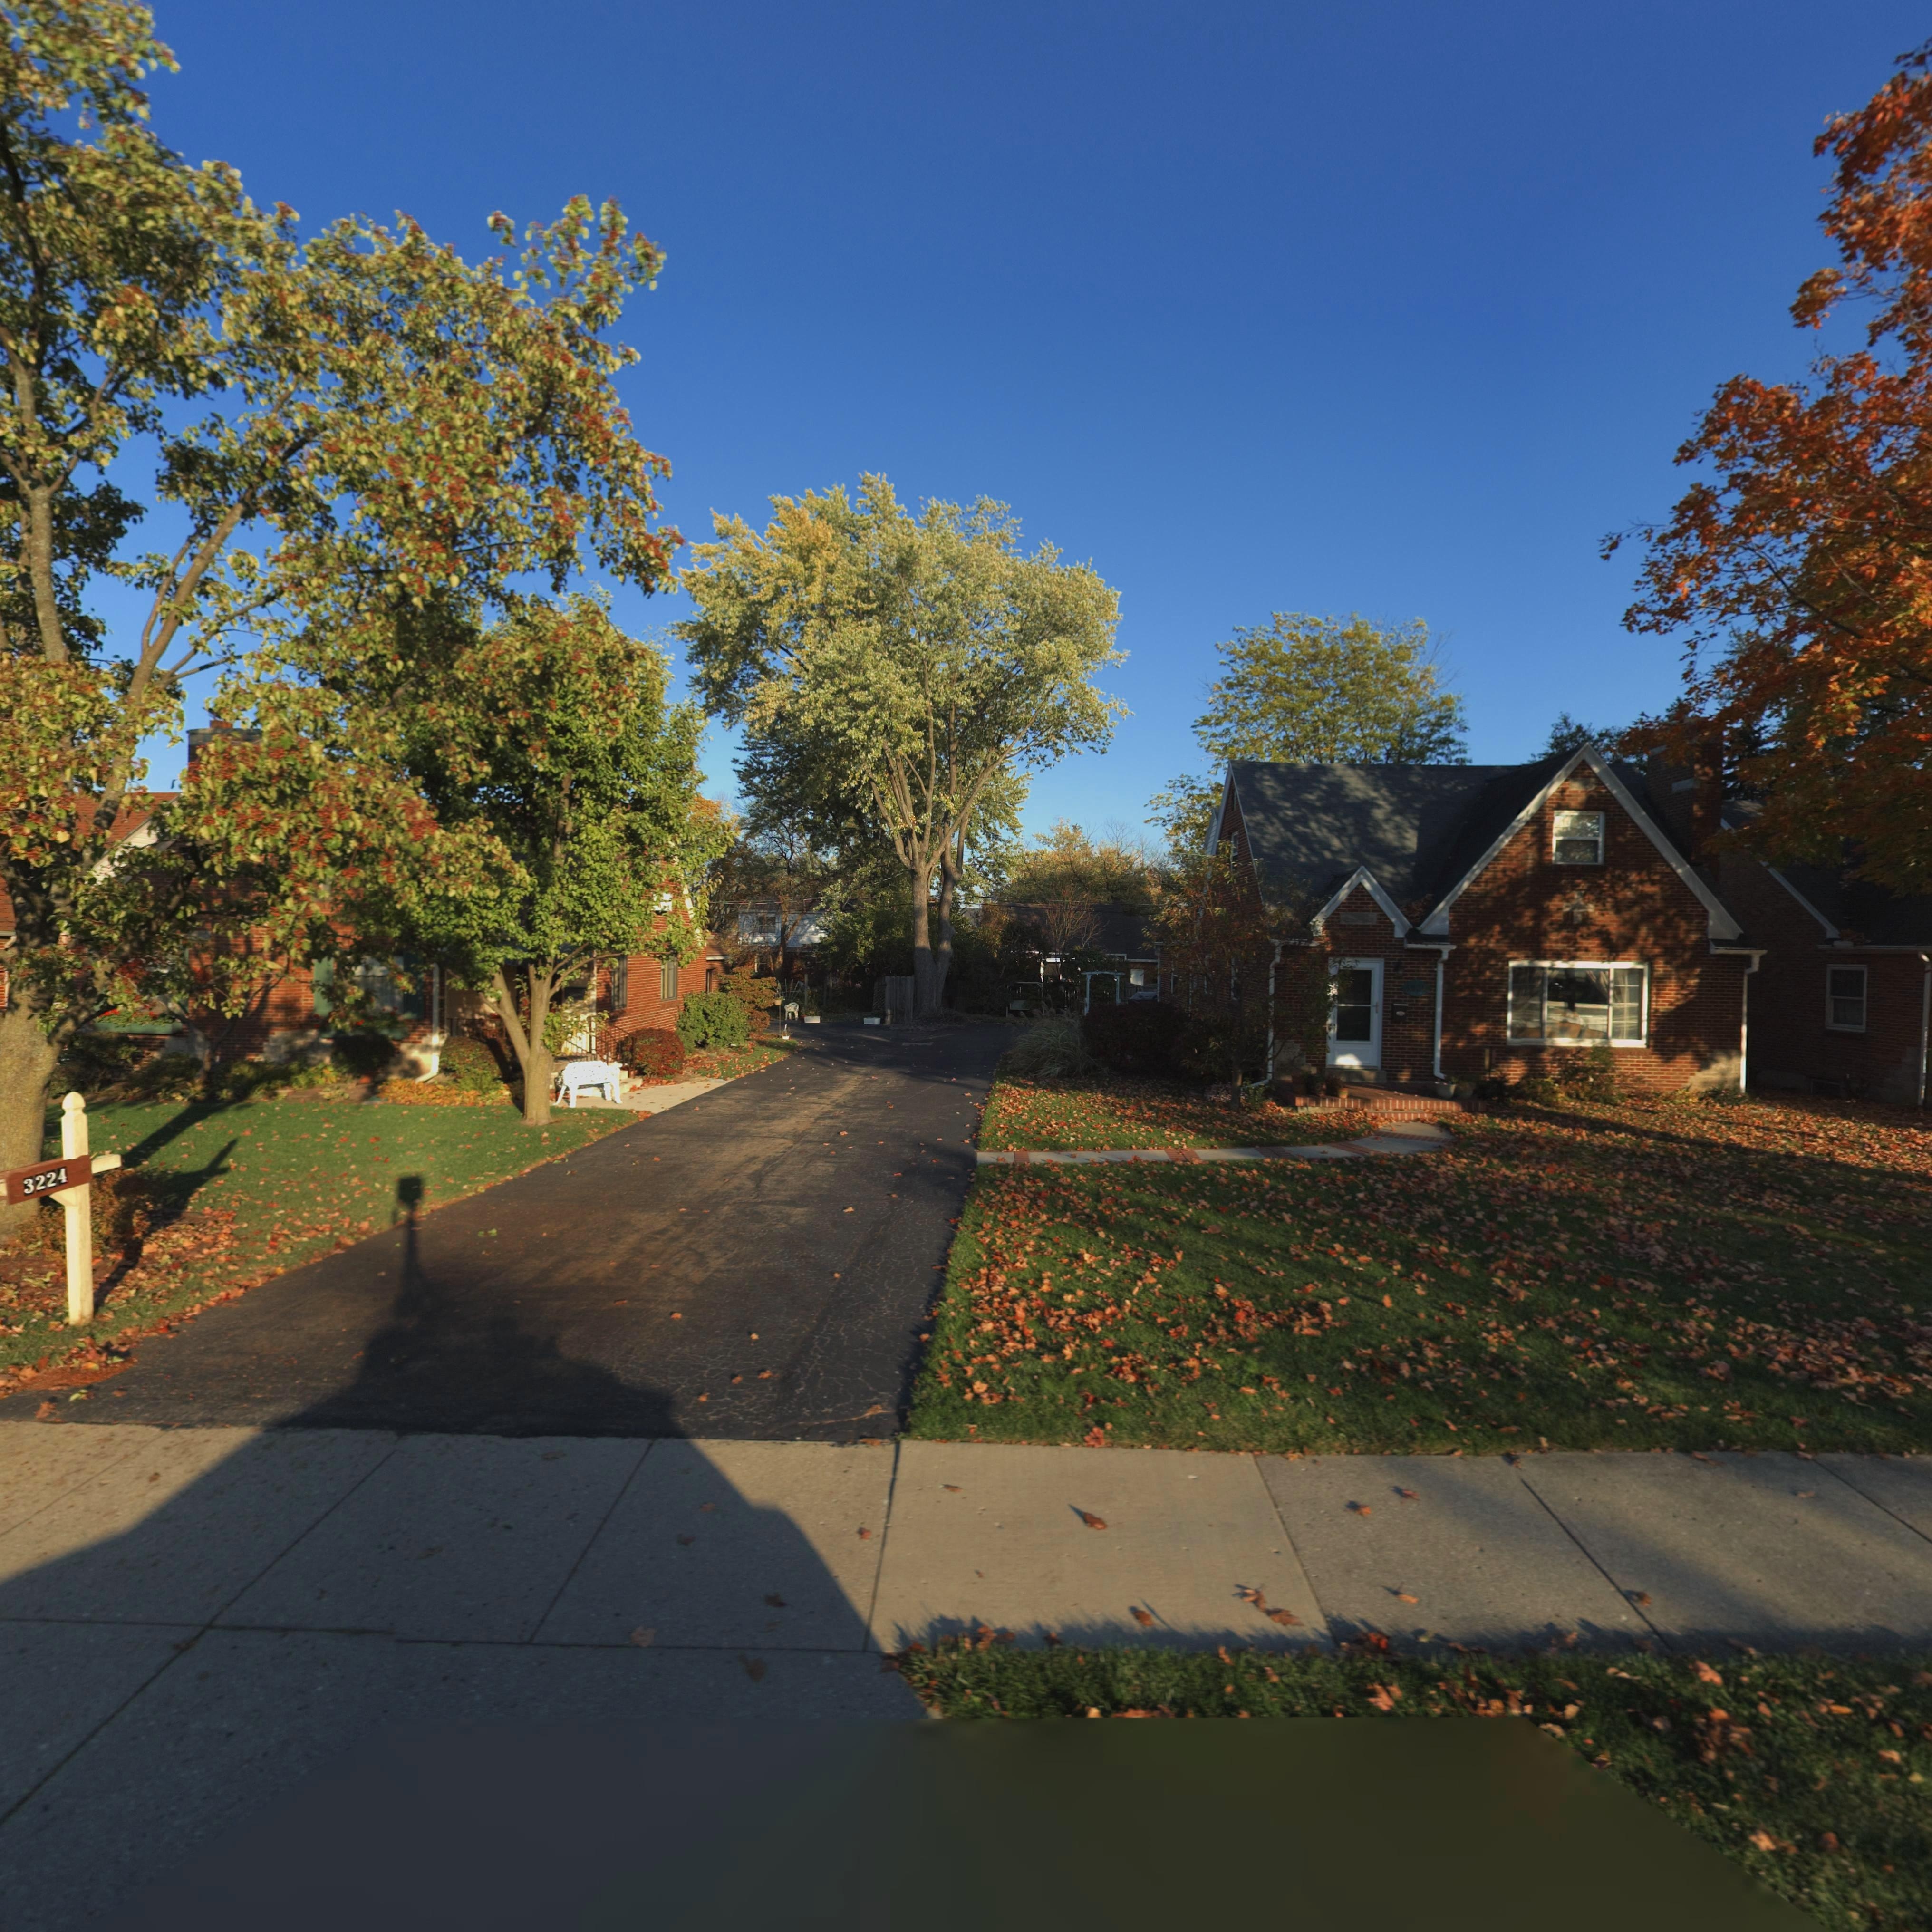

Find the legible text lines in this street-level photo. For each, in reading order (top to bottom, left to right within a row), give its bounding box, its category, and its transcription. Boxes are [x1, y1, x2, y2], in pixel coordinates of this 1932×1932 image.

[20, 1166, 69, 1198] StreetNumber: 3224